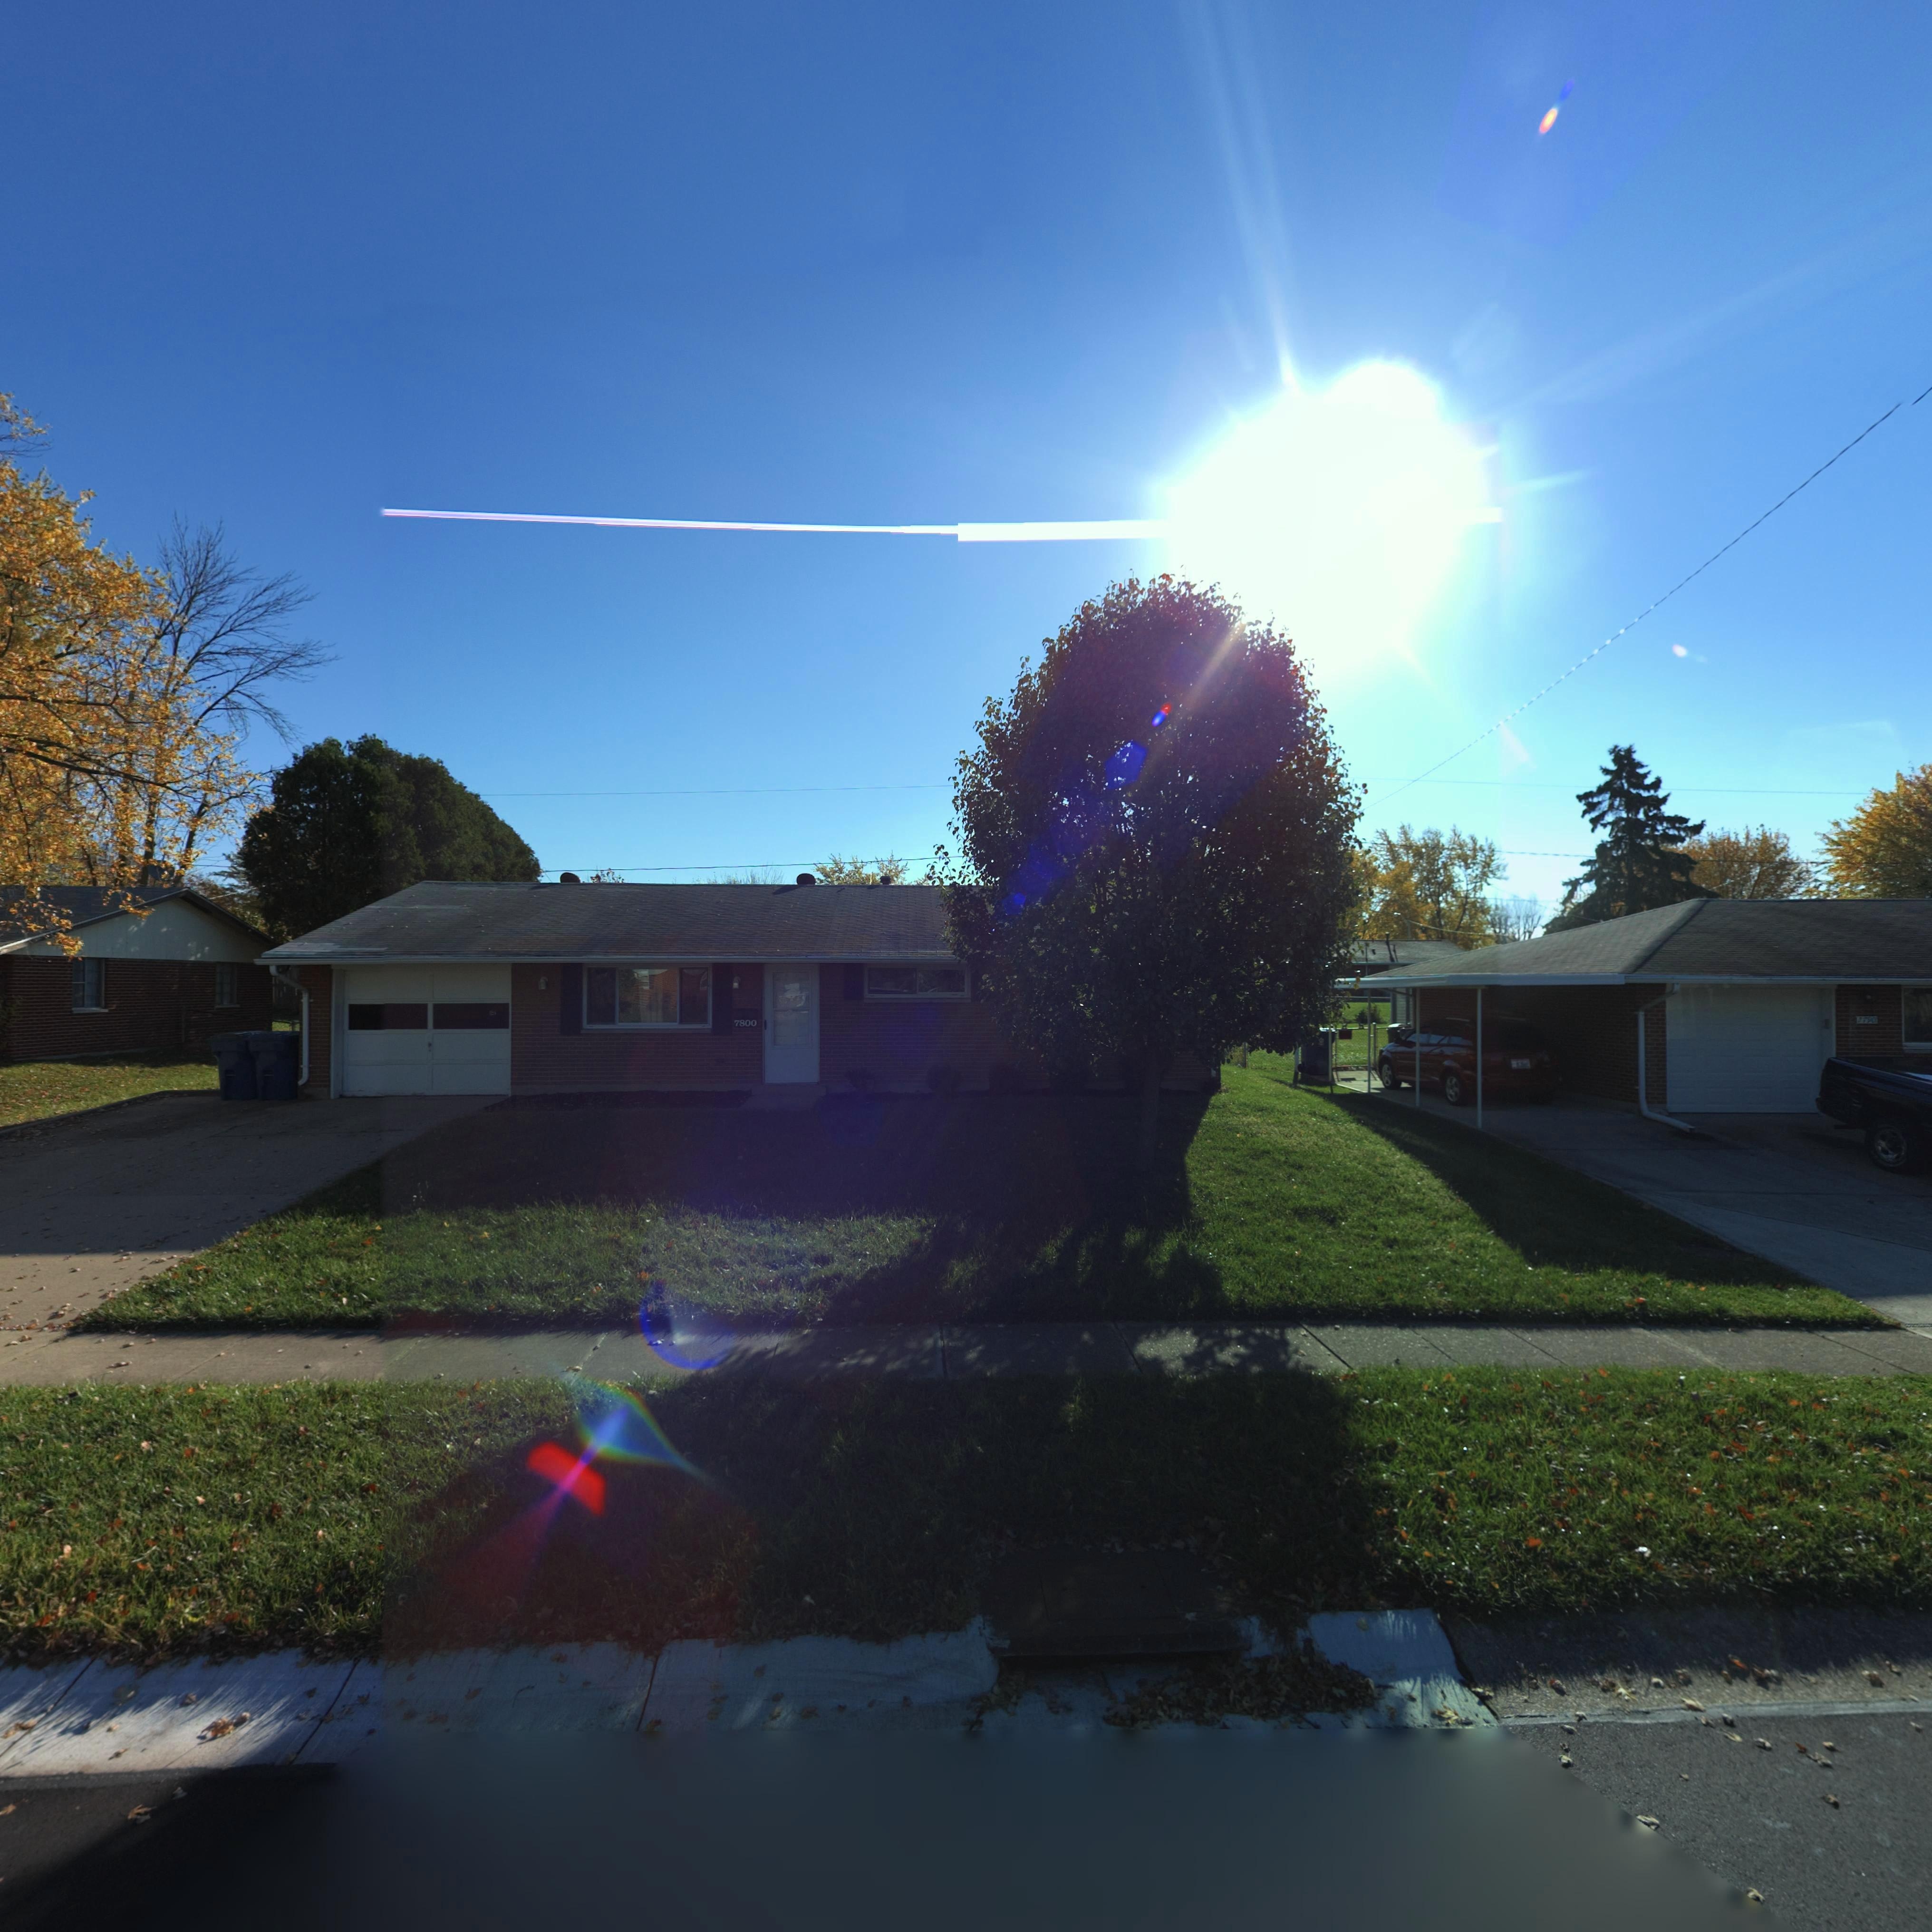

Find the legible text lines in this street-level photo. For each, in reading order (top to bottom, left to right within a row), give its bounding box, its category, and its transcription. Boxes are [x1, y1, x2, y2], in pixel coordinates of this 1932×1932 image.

[733, 1019, 758, 1028] StreetNumber: 7800
[1856, 1015, 1878, 1024] StreetNumber: **90